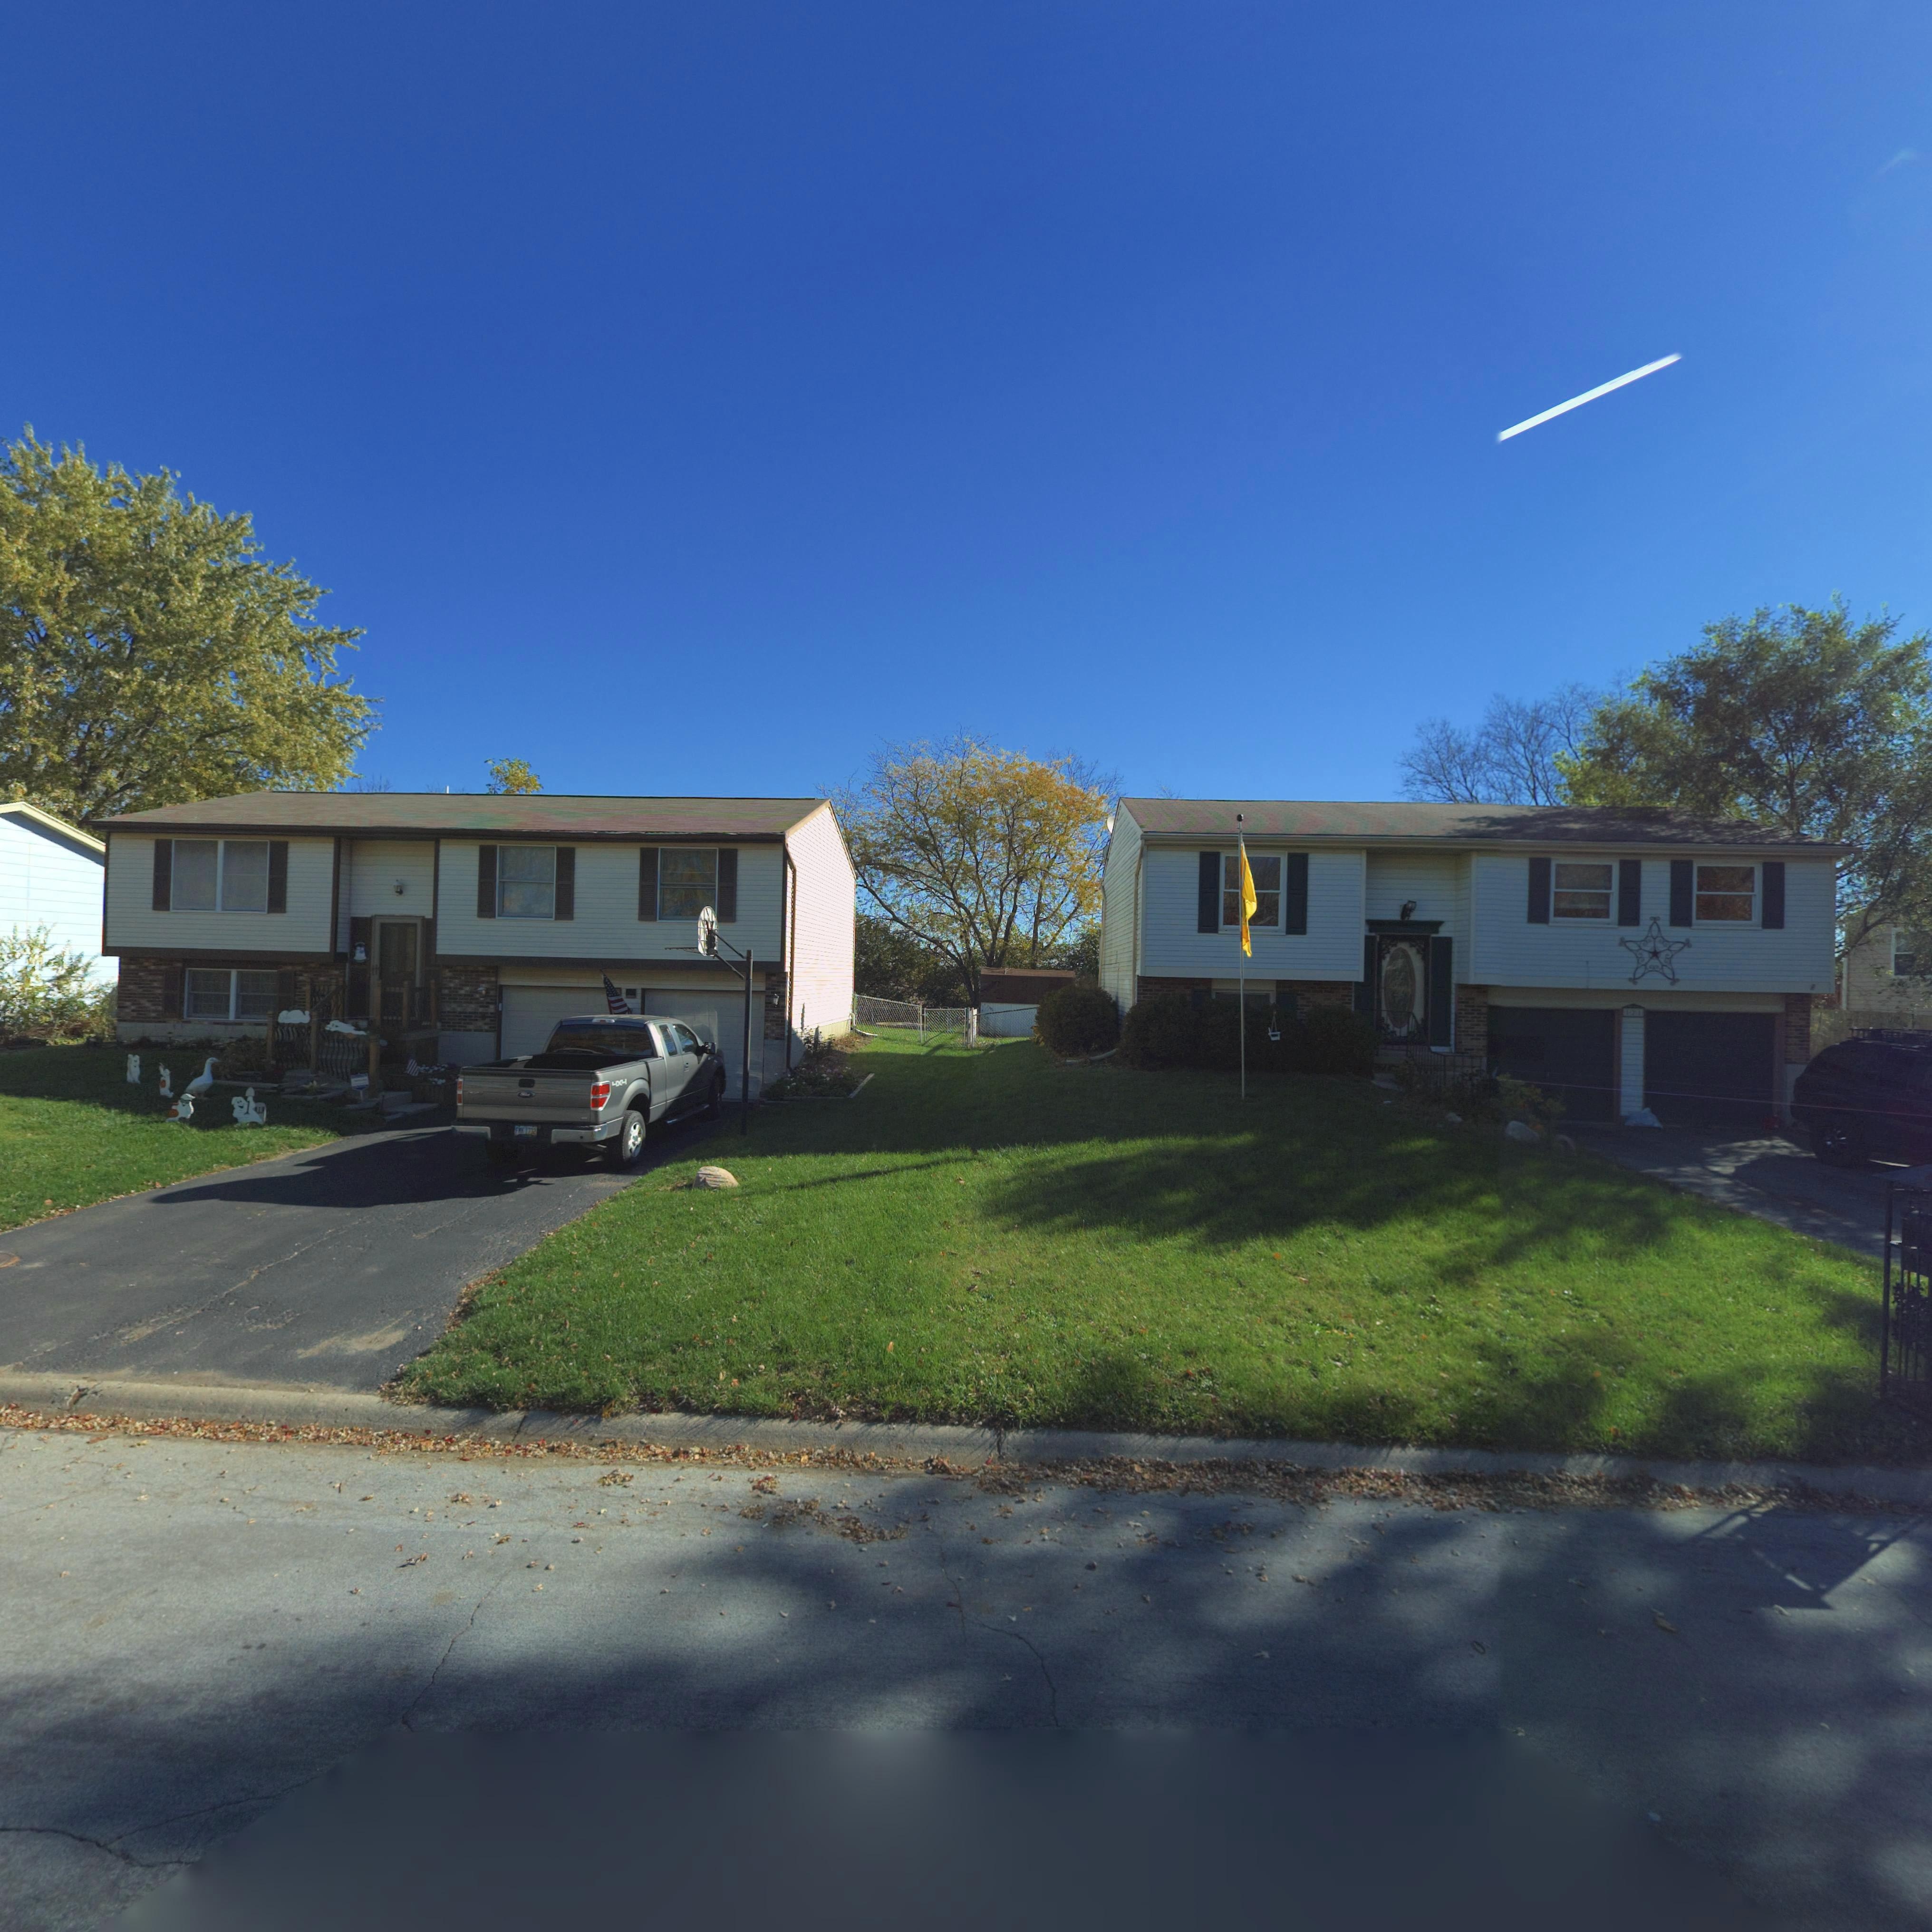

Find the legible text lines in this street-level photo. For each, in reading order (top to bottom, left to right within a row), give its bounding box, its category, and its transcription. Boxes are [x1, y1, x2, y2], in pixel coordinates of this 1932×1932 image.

[1625, 1009, 1642, 1016] StreetNumber: 1*1